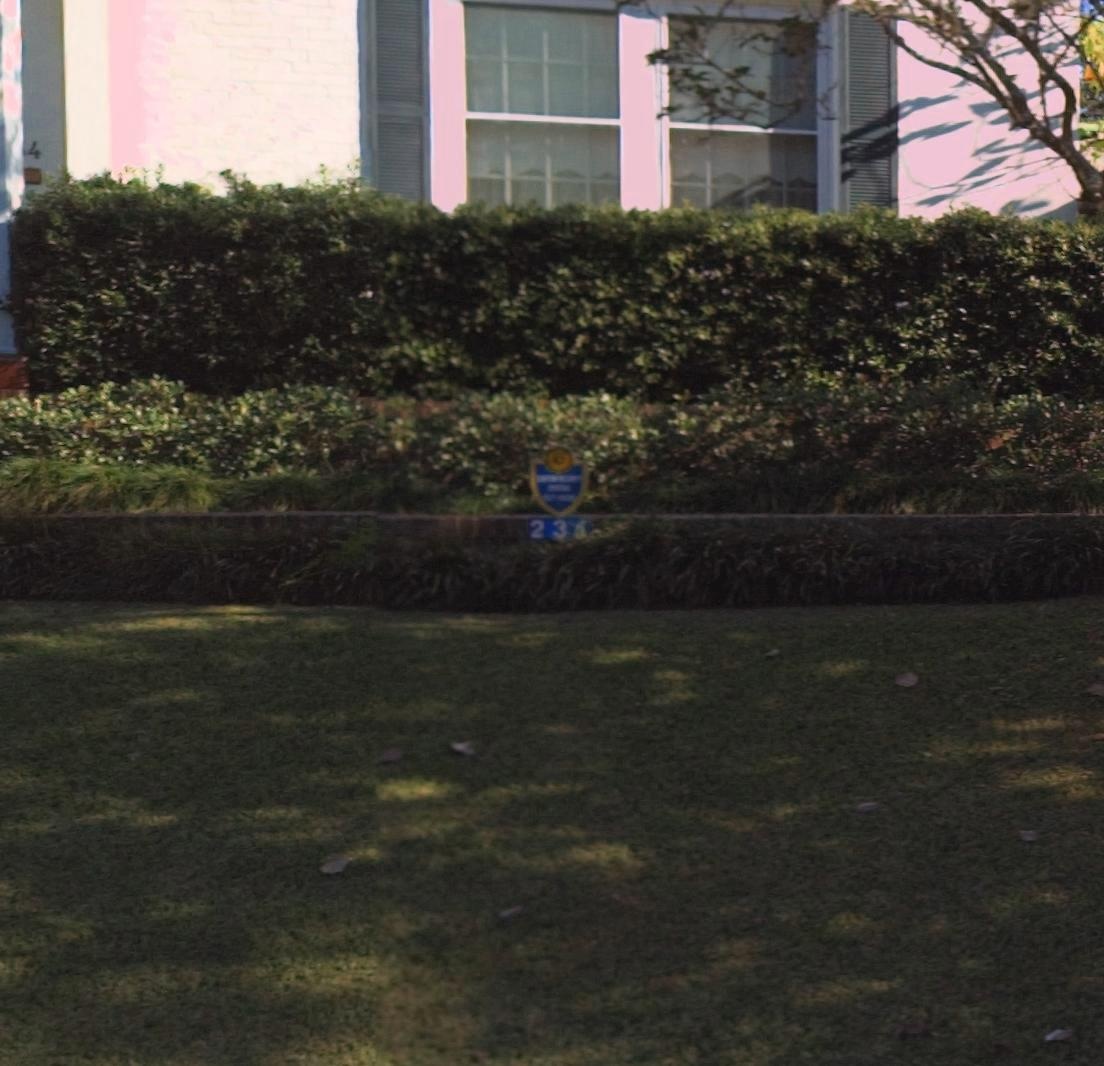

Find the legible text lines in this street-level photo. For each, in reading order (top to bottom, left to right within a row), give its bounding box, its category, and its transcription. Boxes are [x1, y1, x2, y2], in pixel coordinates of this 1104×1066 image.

[527, 517, 590, 542] StreetNumber: 23*